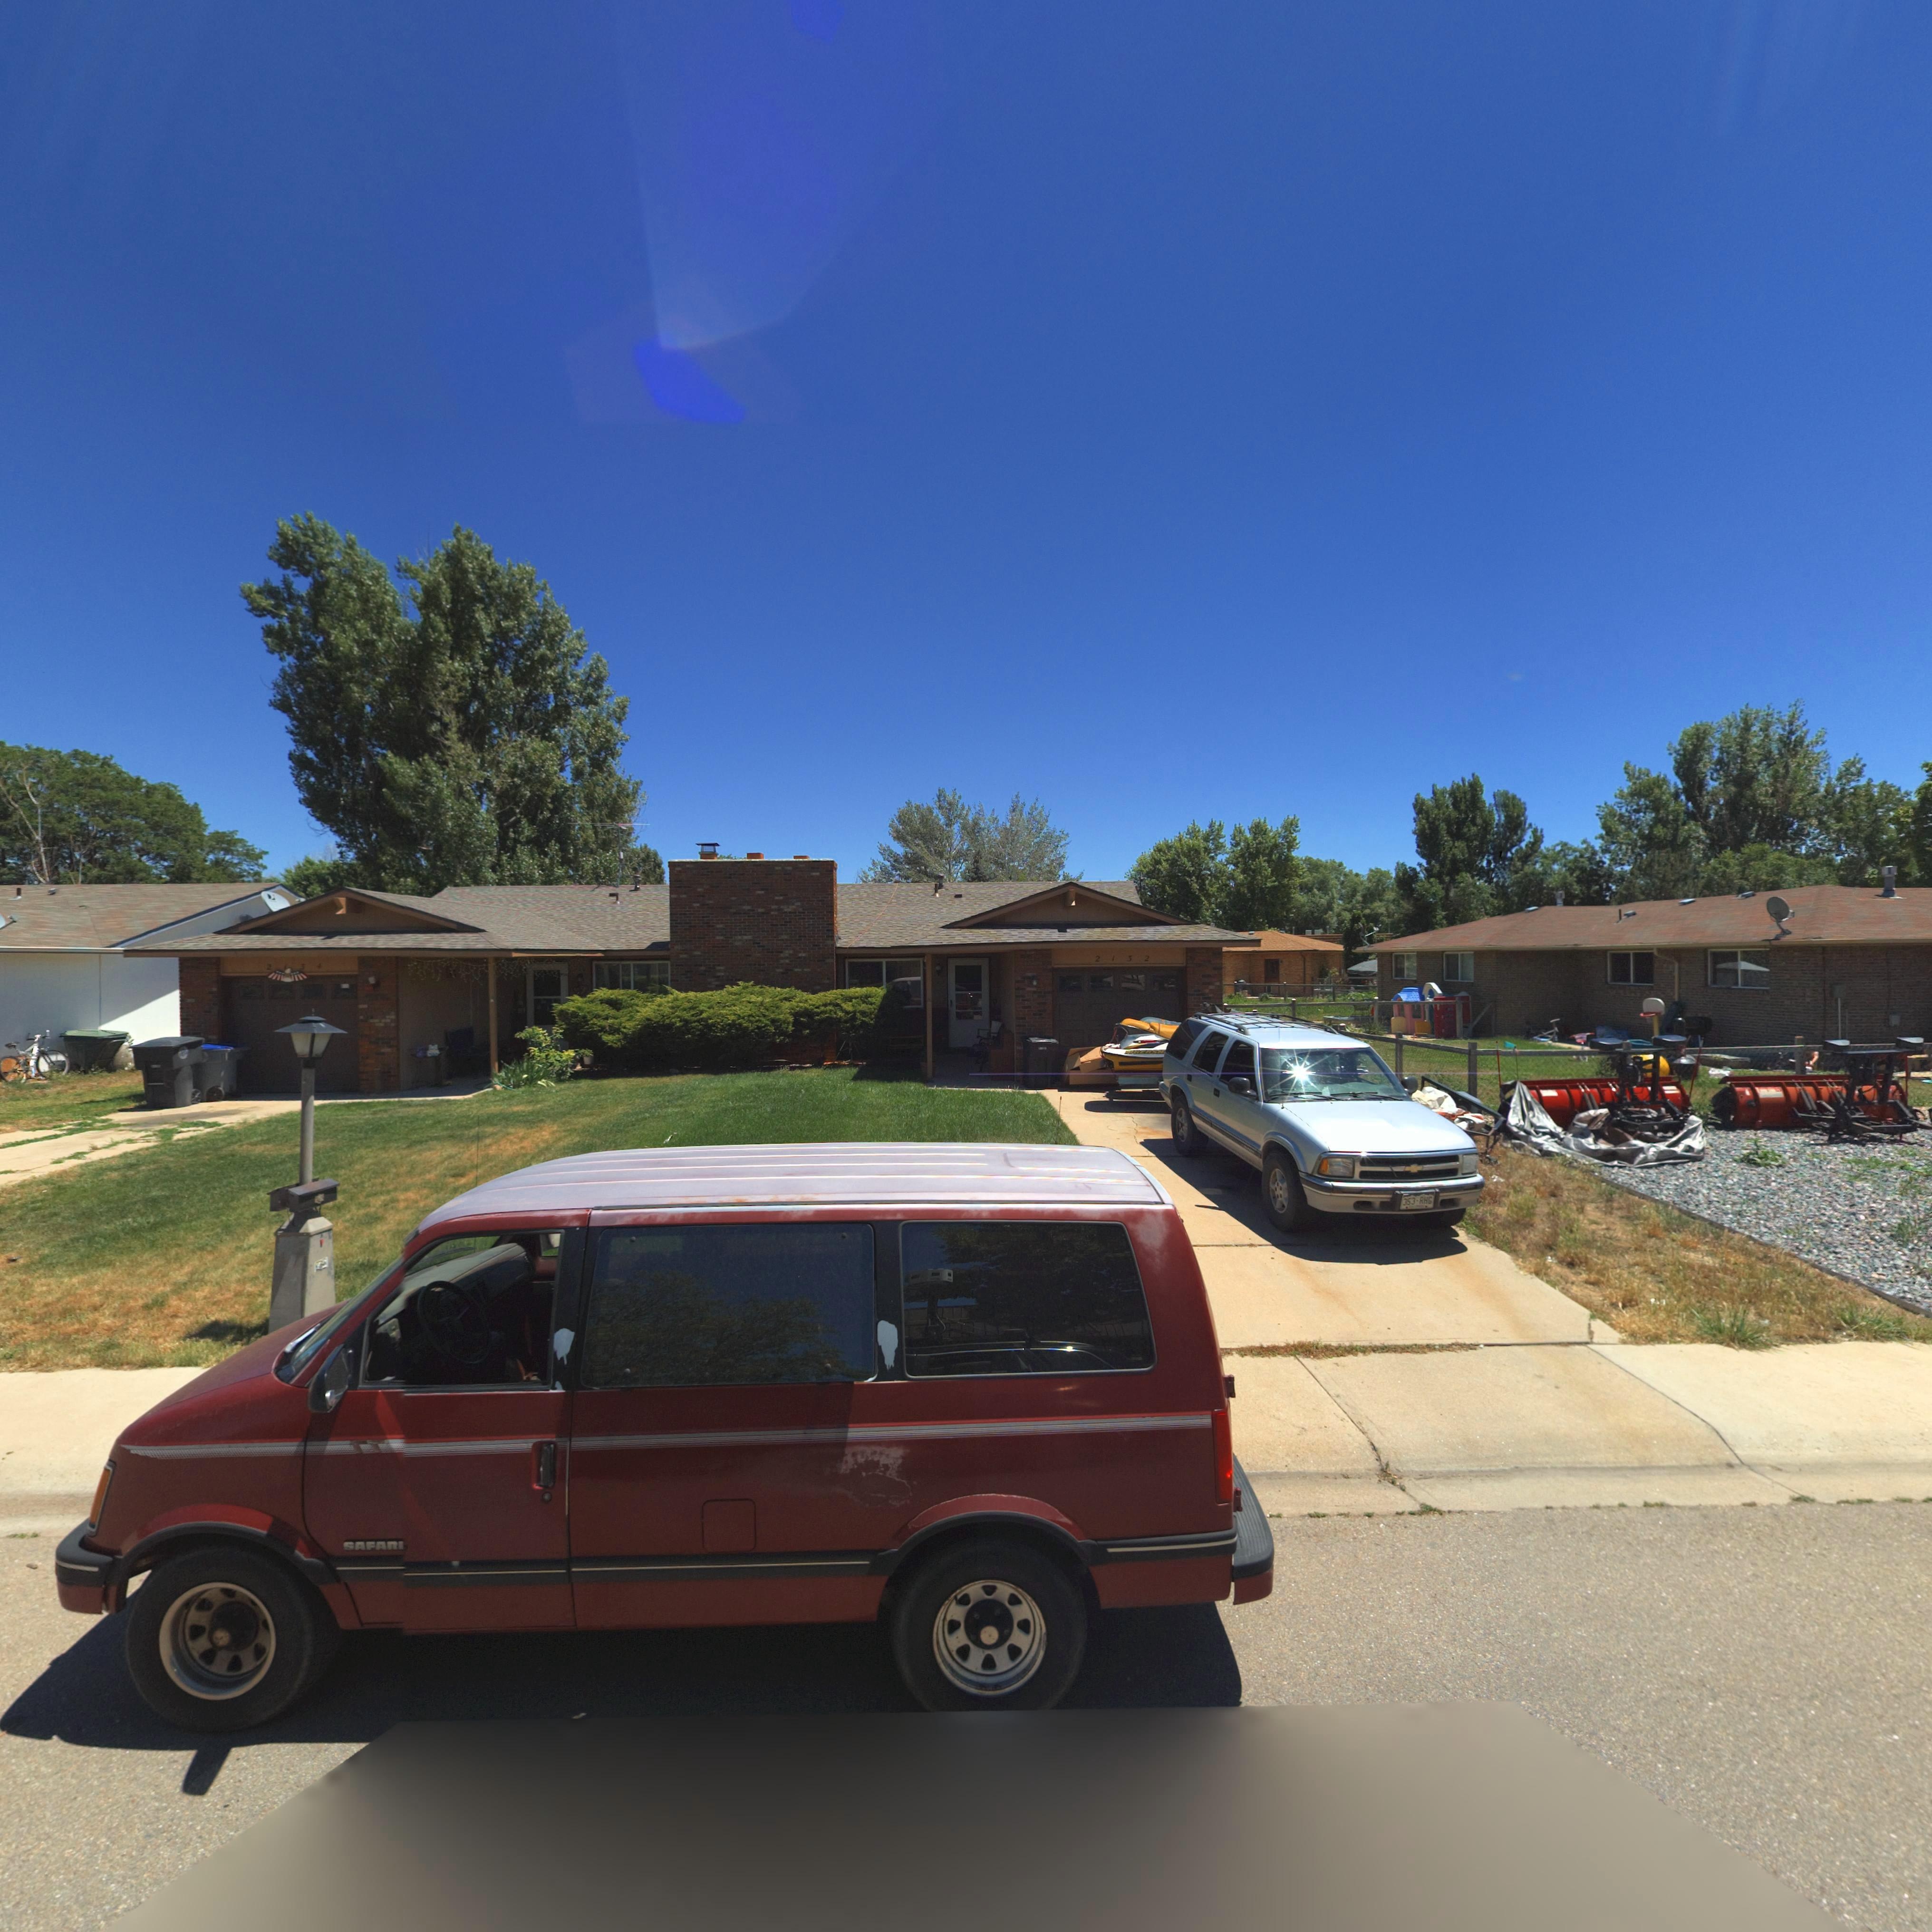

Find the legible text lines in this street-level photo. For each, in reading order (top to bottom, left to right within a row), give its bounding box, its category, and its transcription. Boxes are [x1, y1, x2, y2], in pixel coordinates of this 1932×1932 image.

[1093, 953, 1150, 964] StreetNumber: 2132
[265, 961, 322, 971] StreetNumber: 2134